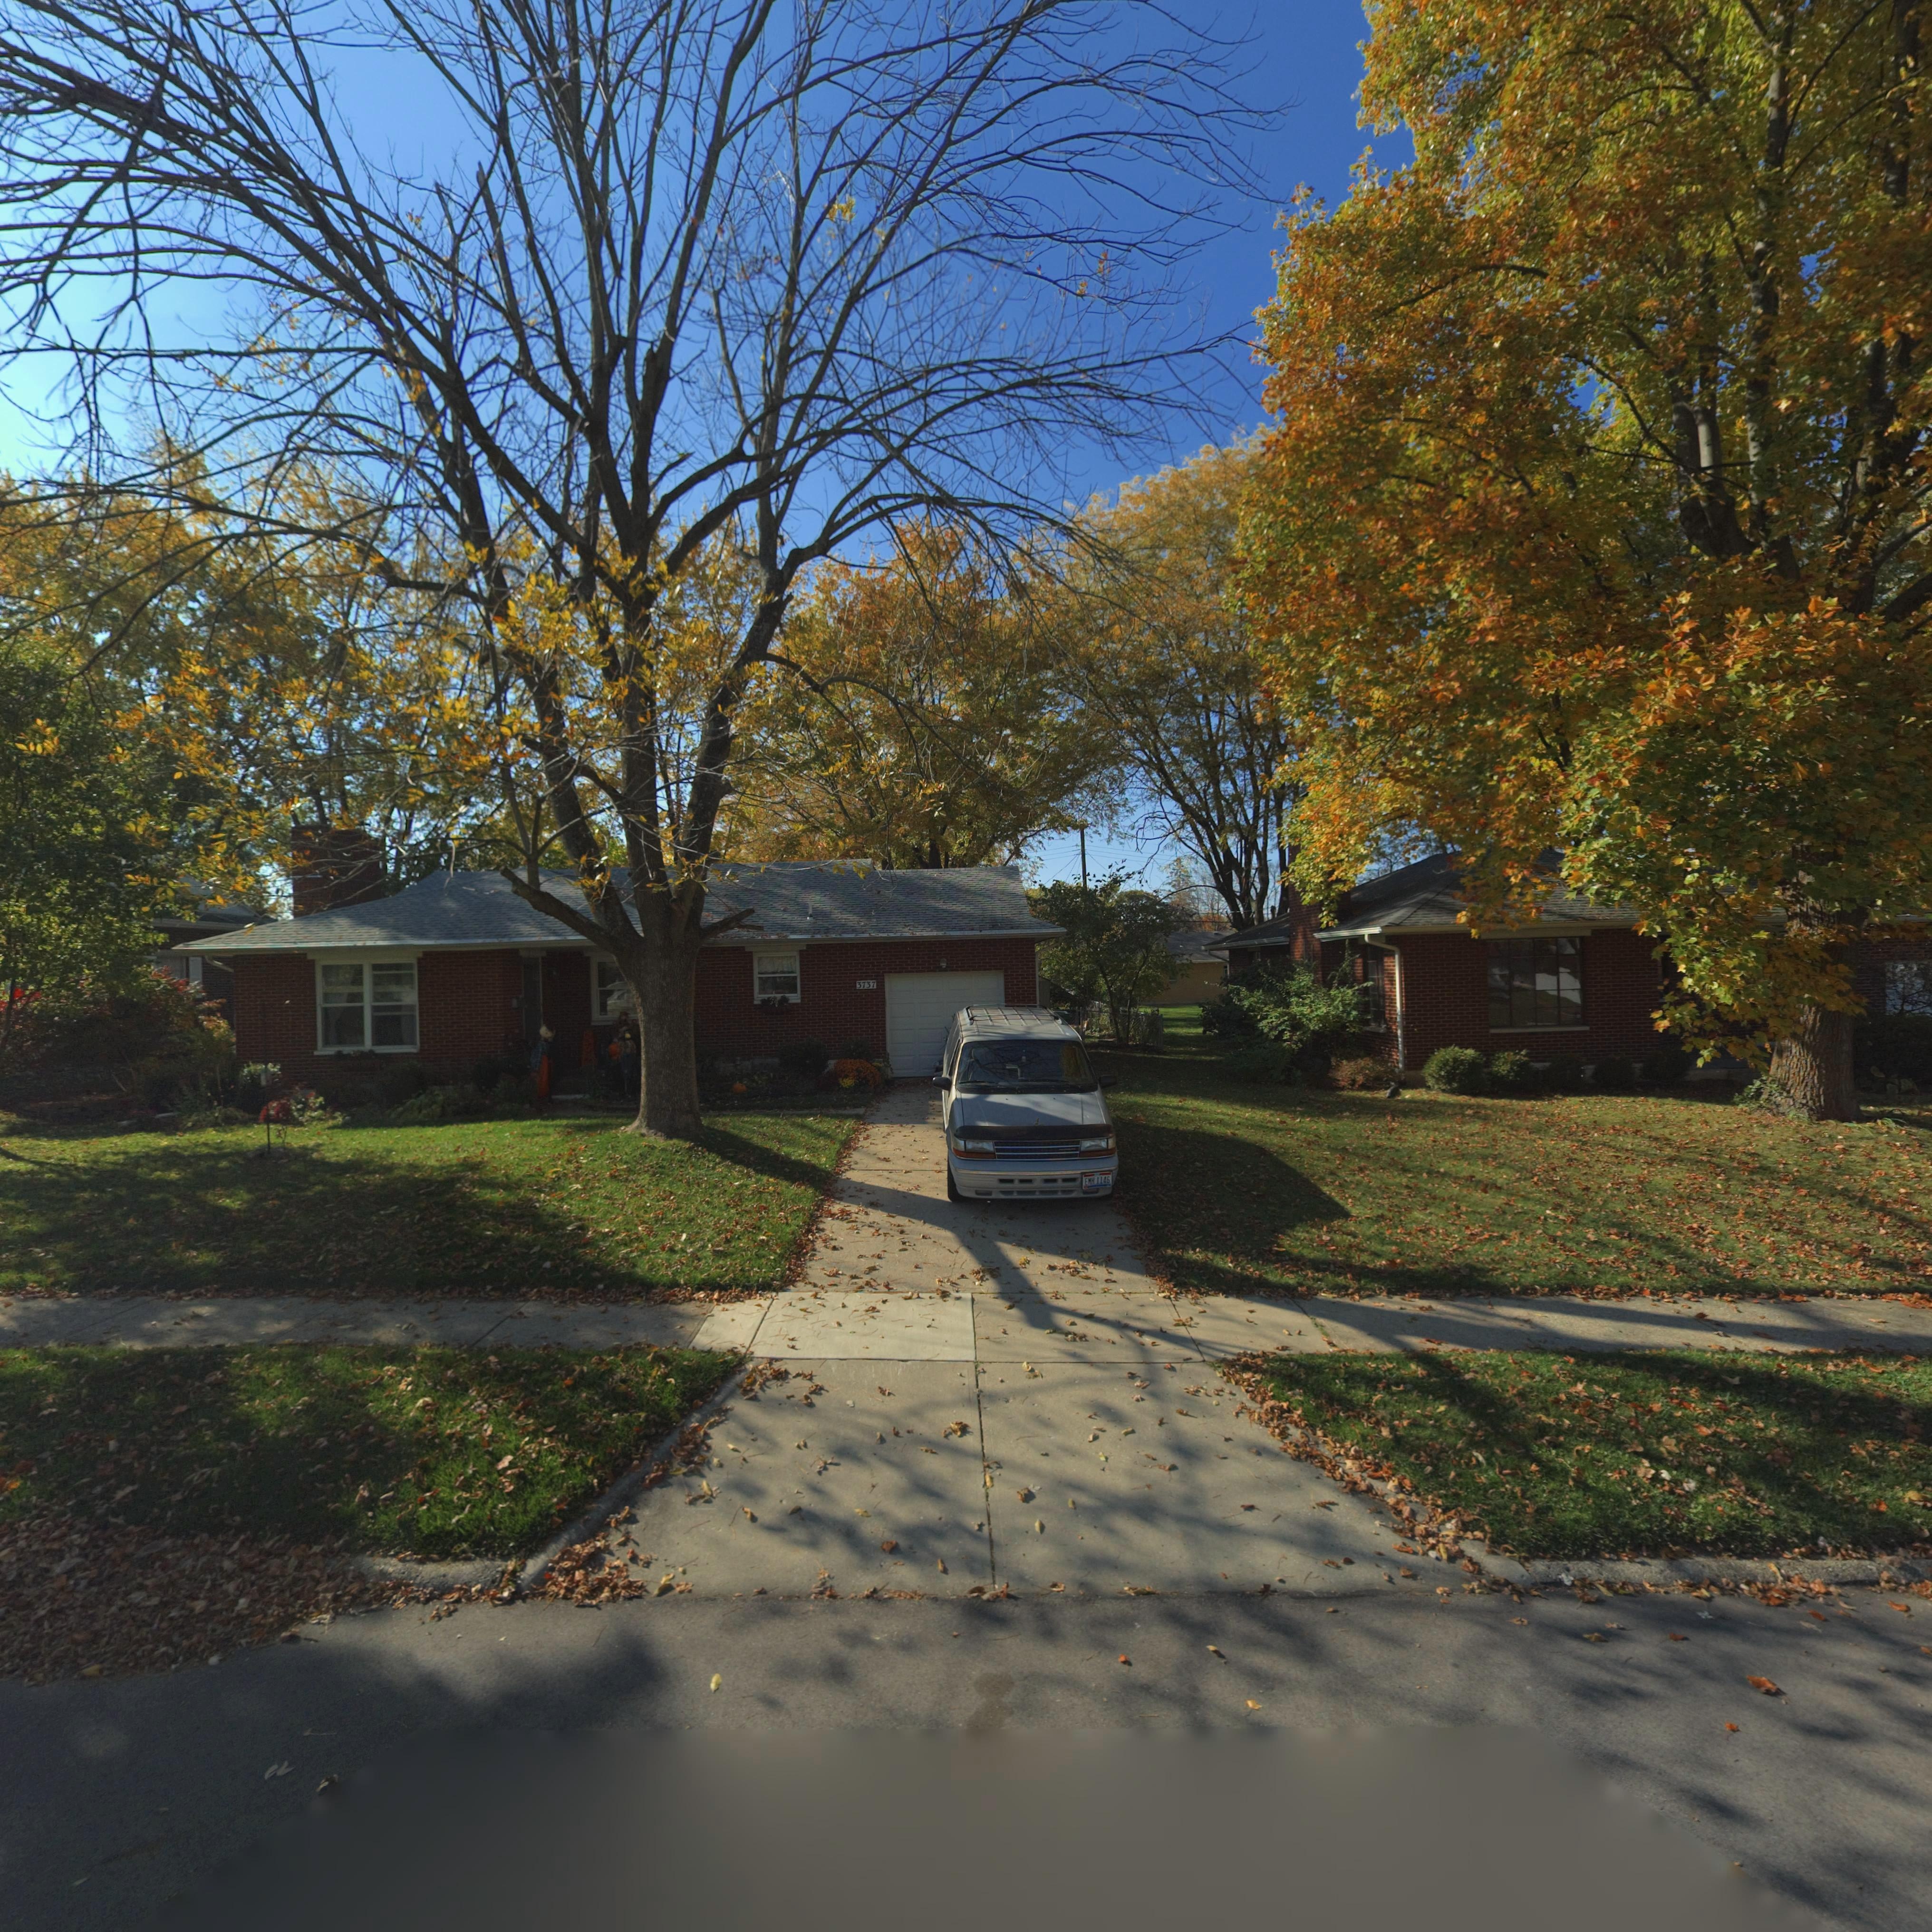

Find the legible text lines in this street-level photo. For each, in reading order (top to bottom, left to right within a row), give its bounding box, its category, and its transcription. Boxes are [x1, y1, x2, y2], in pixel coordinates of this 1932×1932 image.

[856, 980, 877, 989] StreetNumber: 3737
[1083, 1174, 1111, 1188] None: EMH 1146